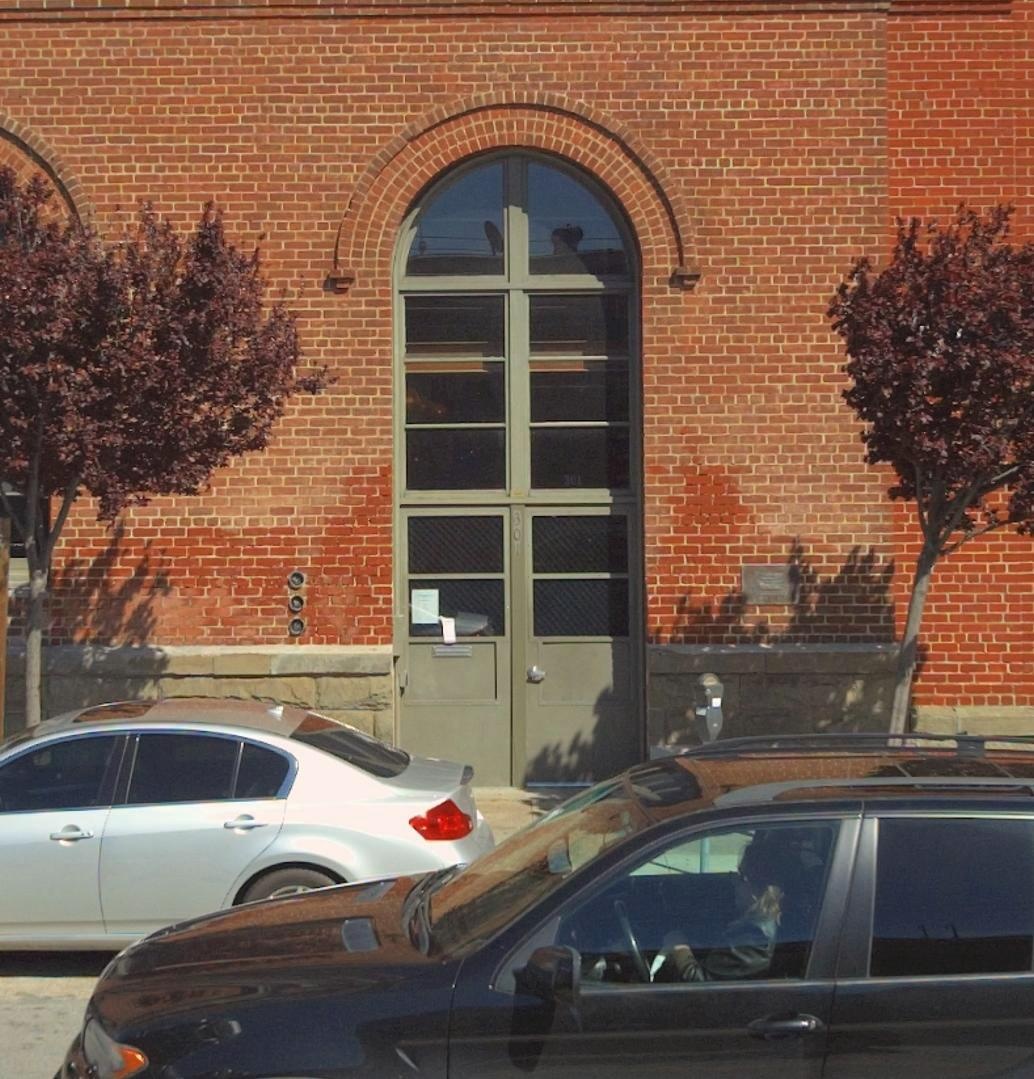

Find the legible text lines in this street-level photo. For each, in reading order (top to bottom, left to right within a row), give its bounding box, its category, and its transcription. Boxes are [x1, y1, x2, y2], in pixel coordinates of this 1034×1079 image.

[508, 509, 525, 561] StreetNumber: 301